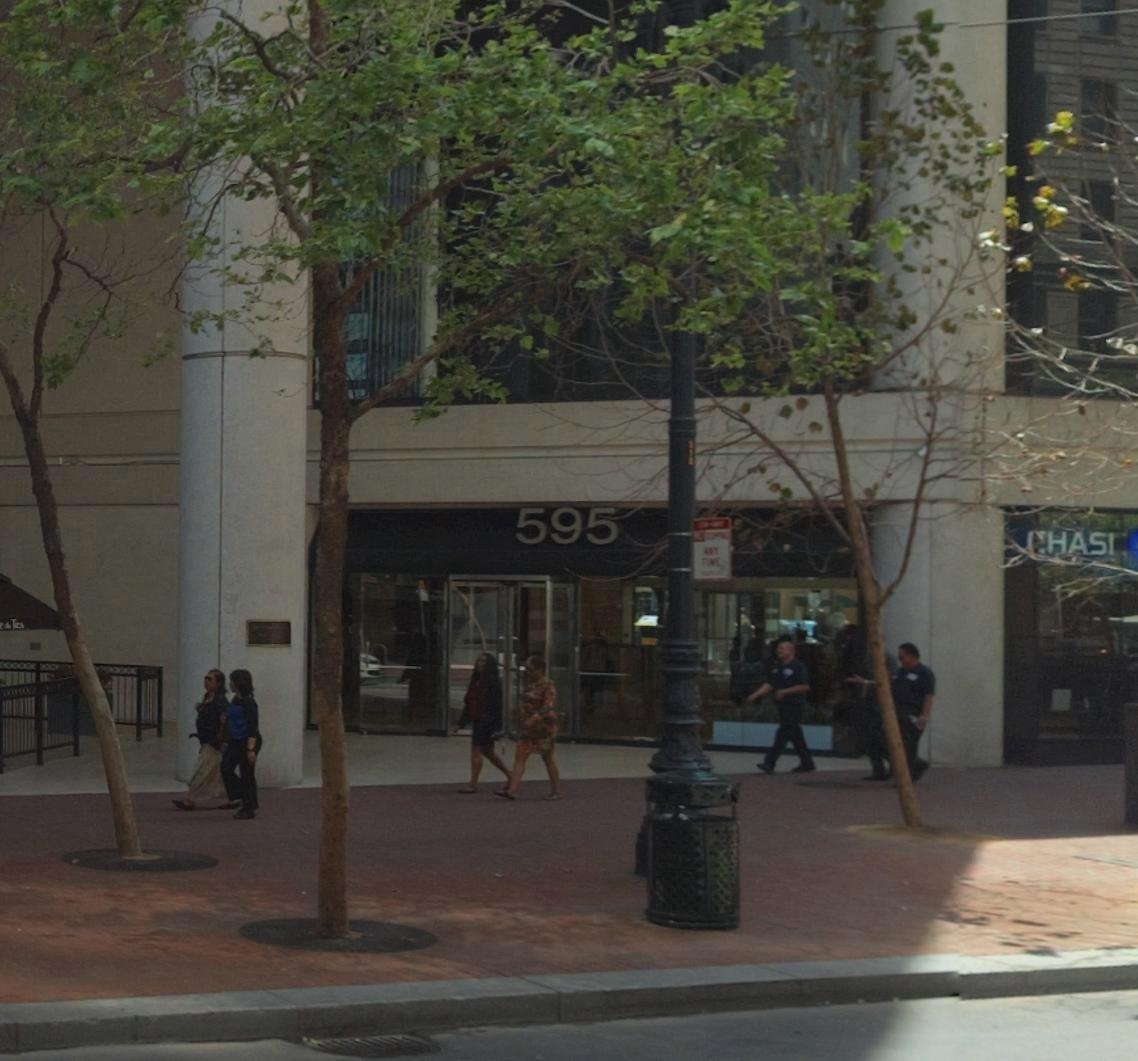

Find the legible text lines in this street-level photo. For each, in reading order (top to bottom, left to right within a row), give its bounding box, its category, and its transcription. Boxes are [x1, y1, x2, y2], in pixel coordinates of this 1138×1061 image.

[515, 505, 620, 547] StreetNumber: 595
[699, 555, 722, 567] None: TIME
[702, 545, 720, 555] None: ANY
[1026, 529, 1109, 561] BusinessName: CHAS